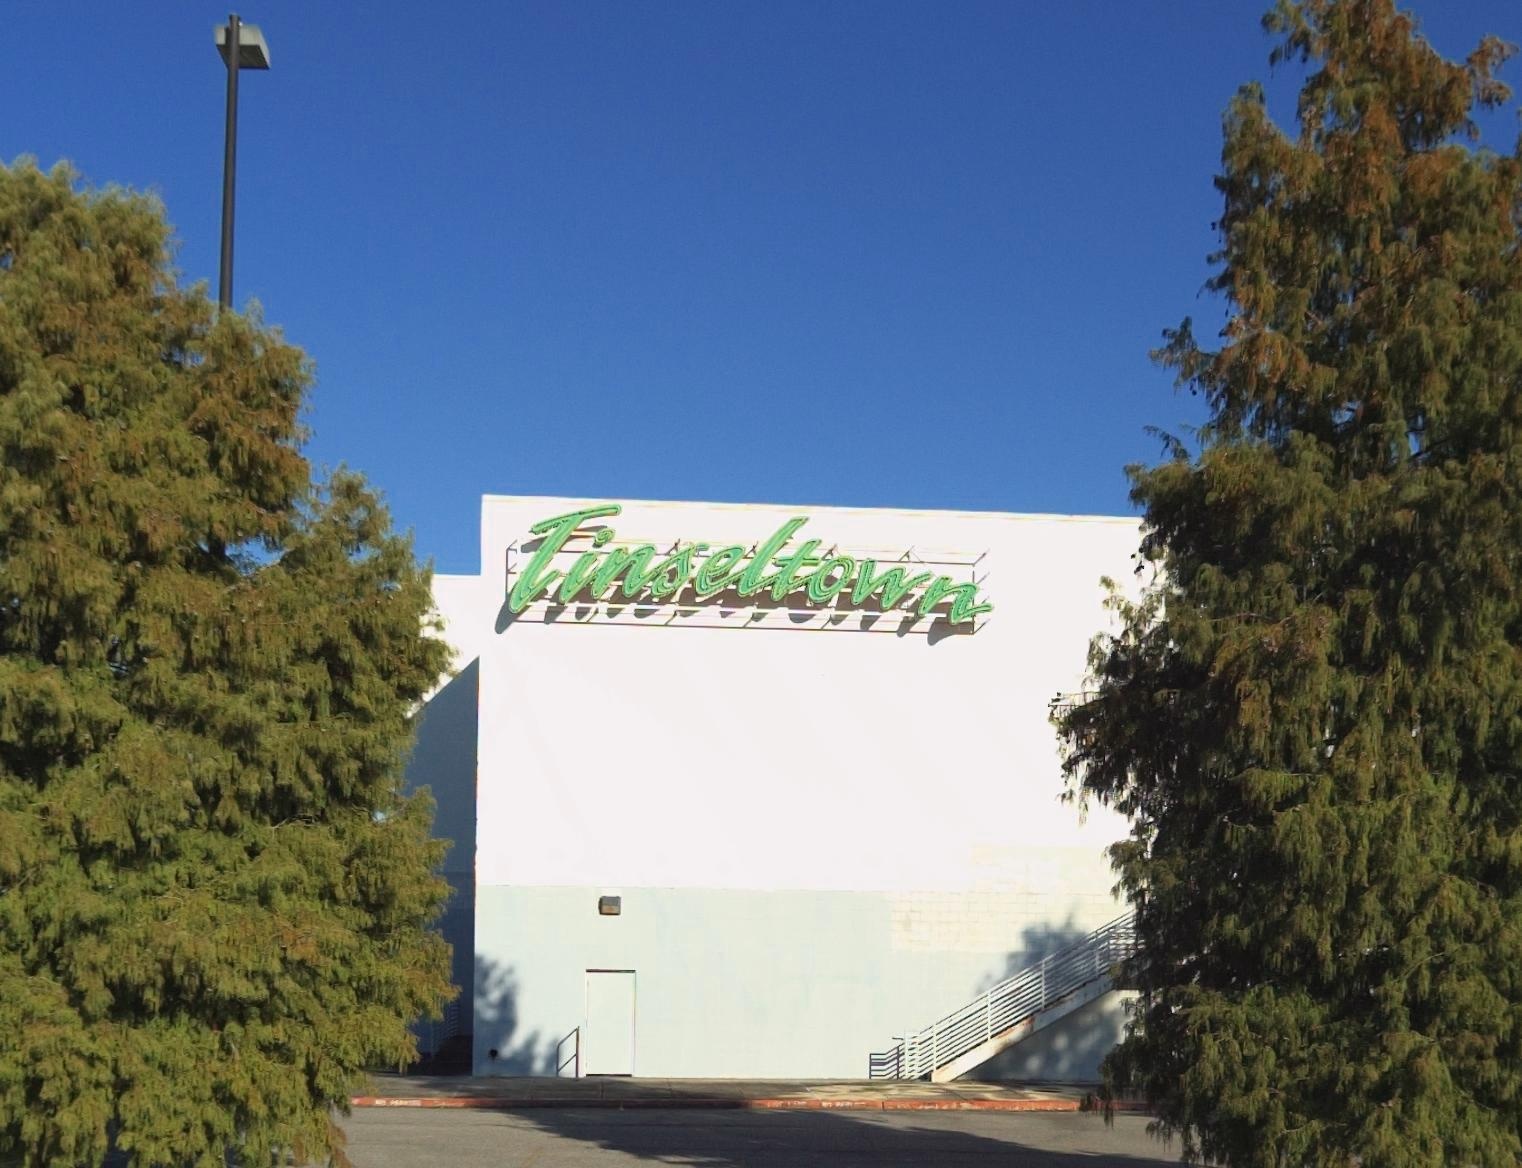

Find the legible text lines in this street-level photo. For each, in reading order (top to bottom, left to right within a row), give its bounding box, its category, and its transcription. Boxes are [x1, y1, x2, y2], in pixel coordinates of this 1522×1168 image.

[506, 501, 998, 629] BusinessName: Tinseltown